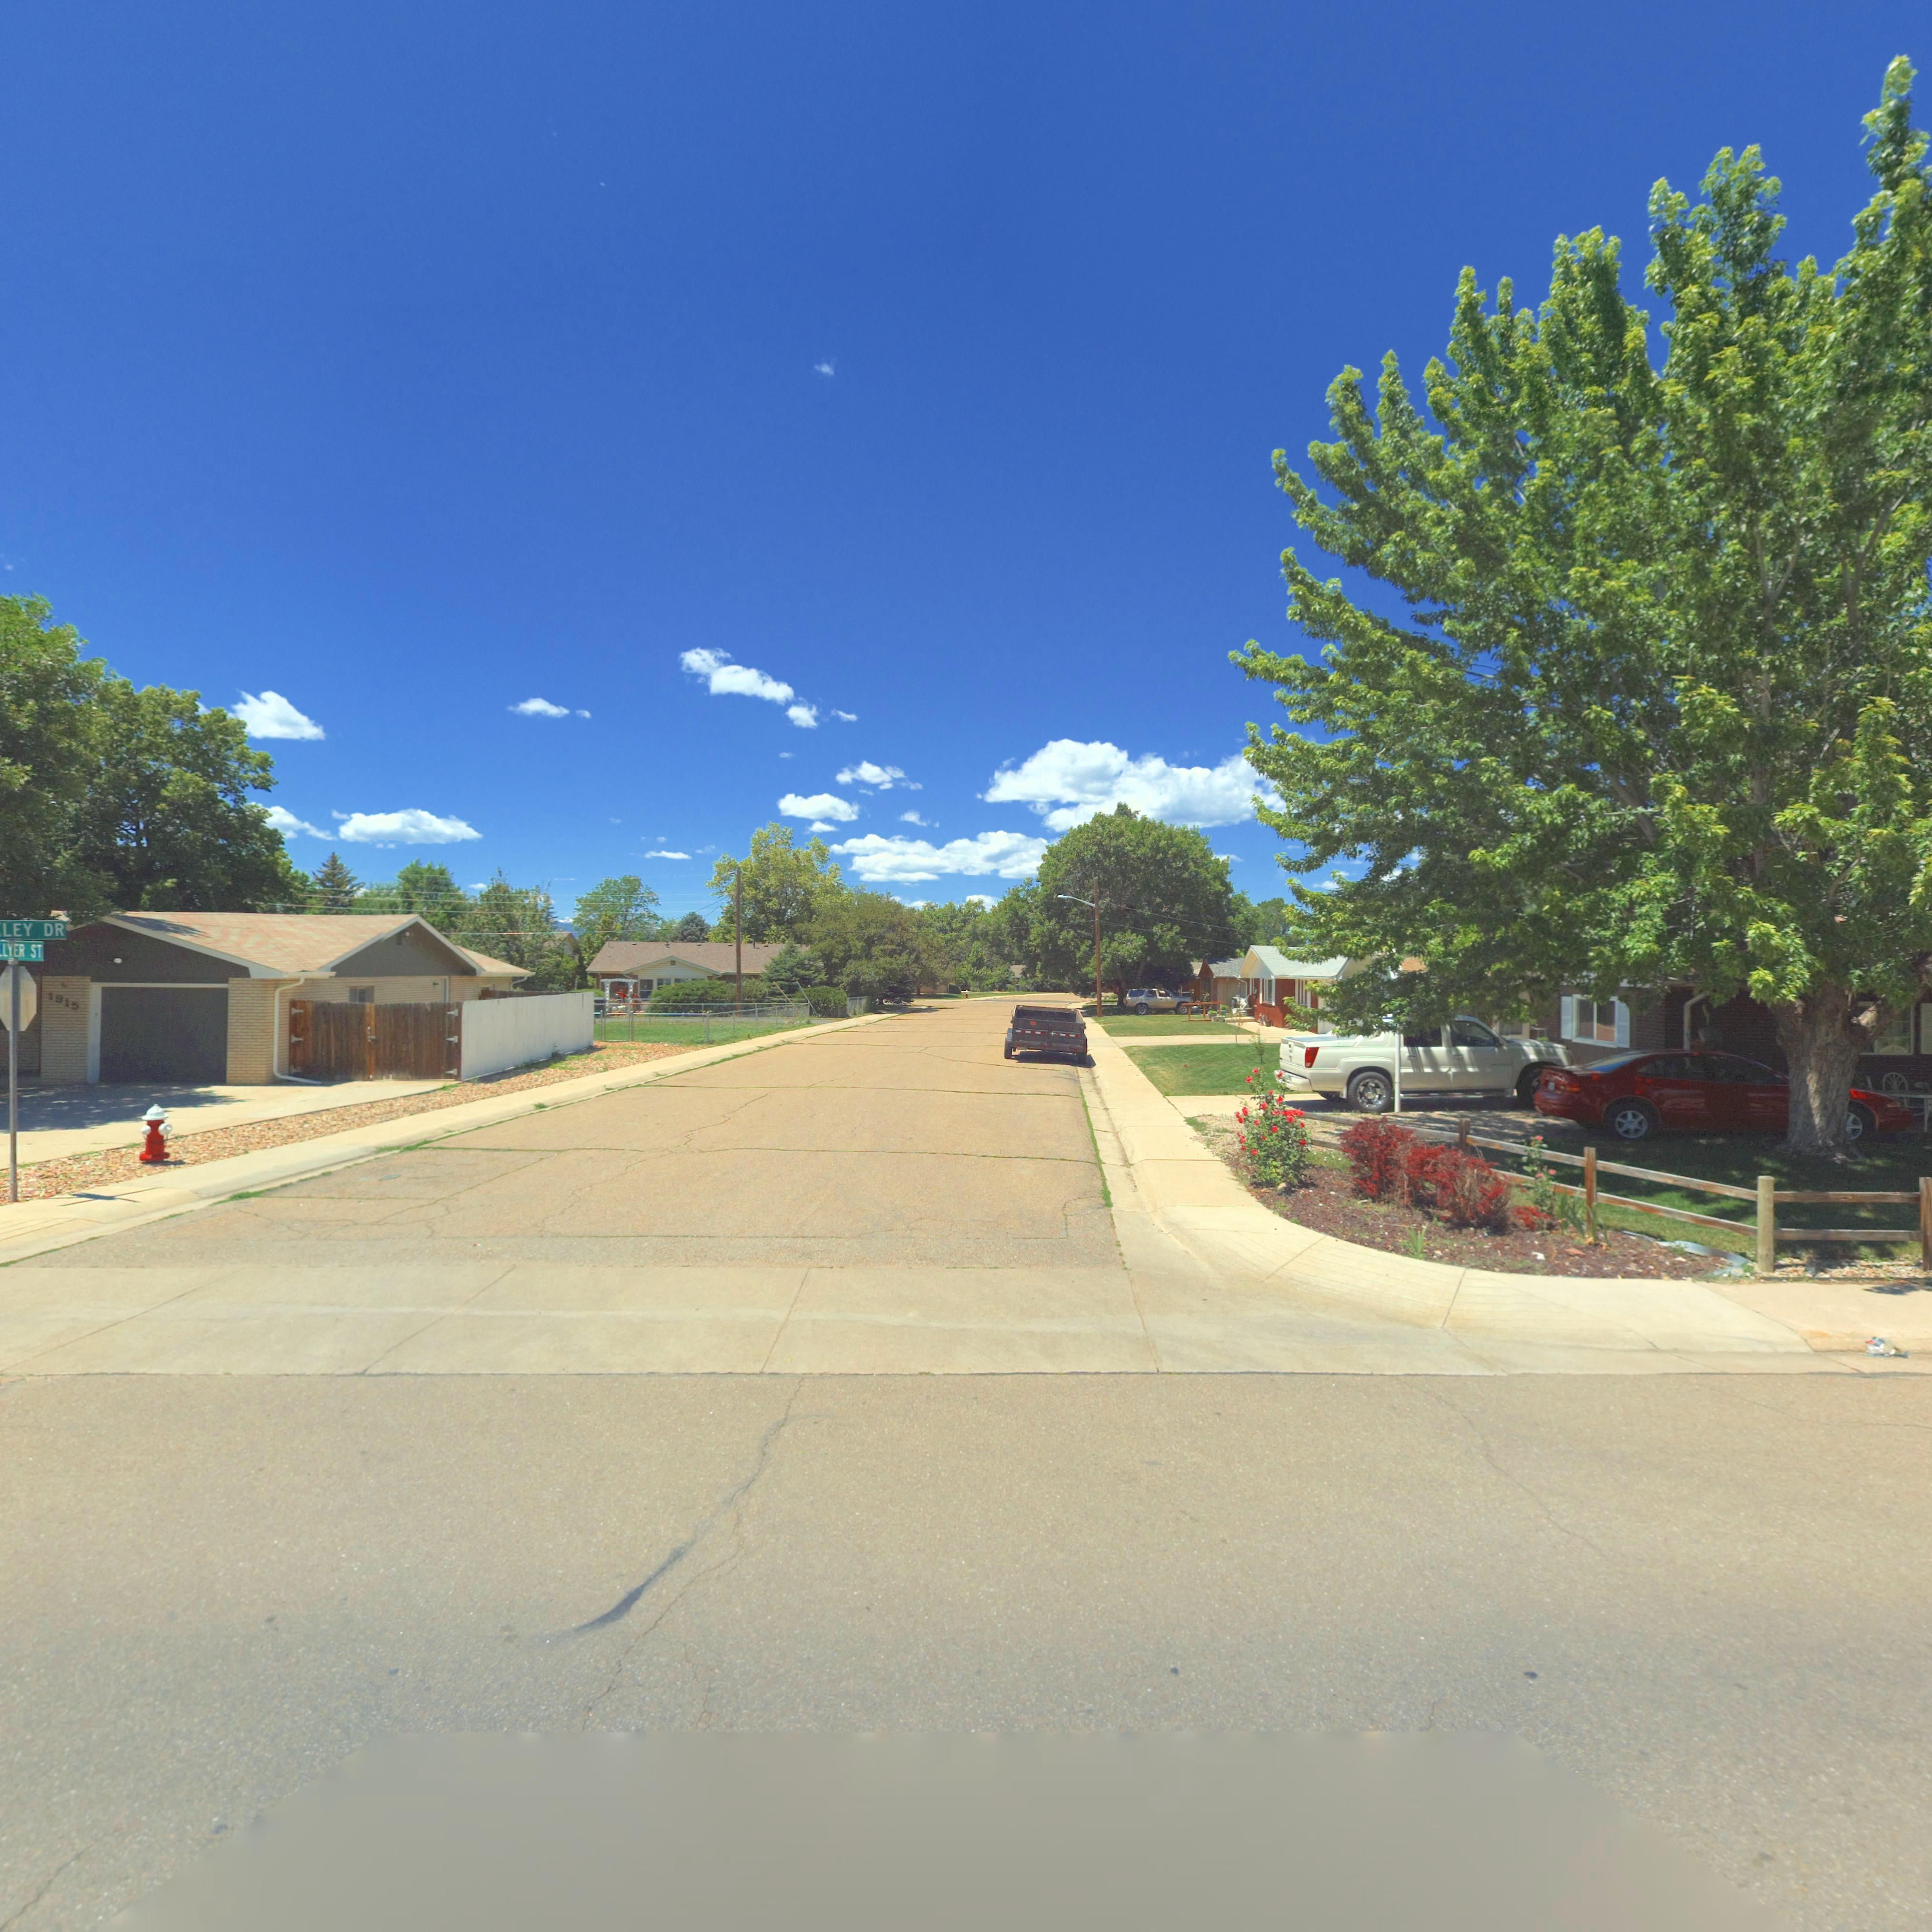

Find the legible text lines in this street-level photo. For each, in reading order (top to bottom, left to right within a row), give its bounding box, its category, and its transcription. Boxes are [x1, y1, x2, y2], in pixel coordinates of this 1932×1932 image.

[2, 922, 65, 937] StreetName: LEY DR
[2, 943, 43, 958] StreetName: LYER ST
[47, 991, 80, 1011] StreetNumber: 1915